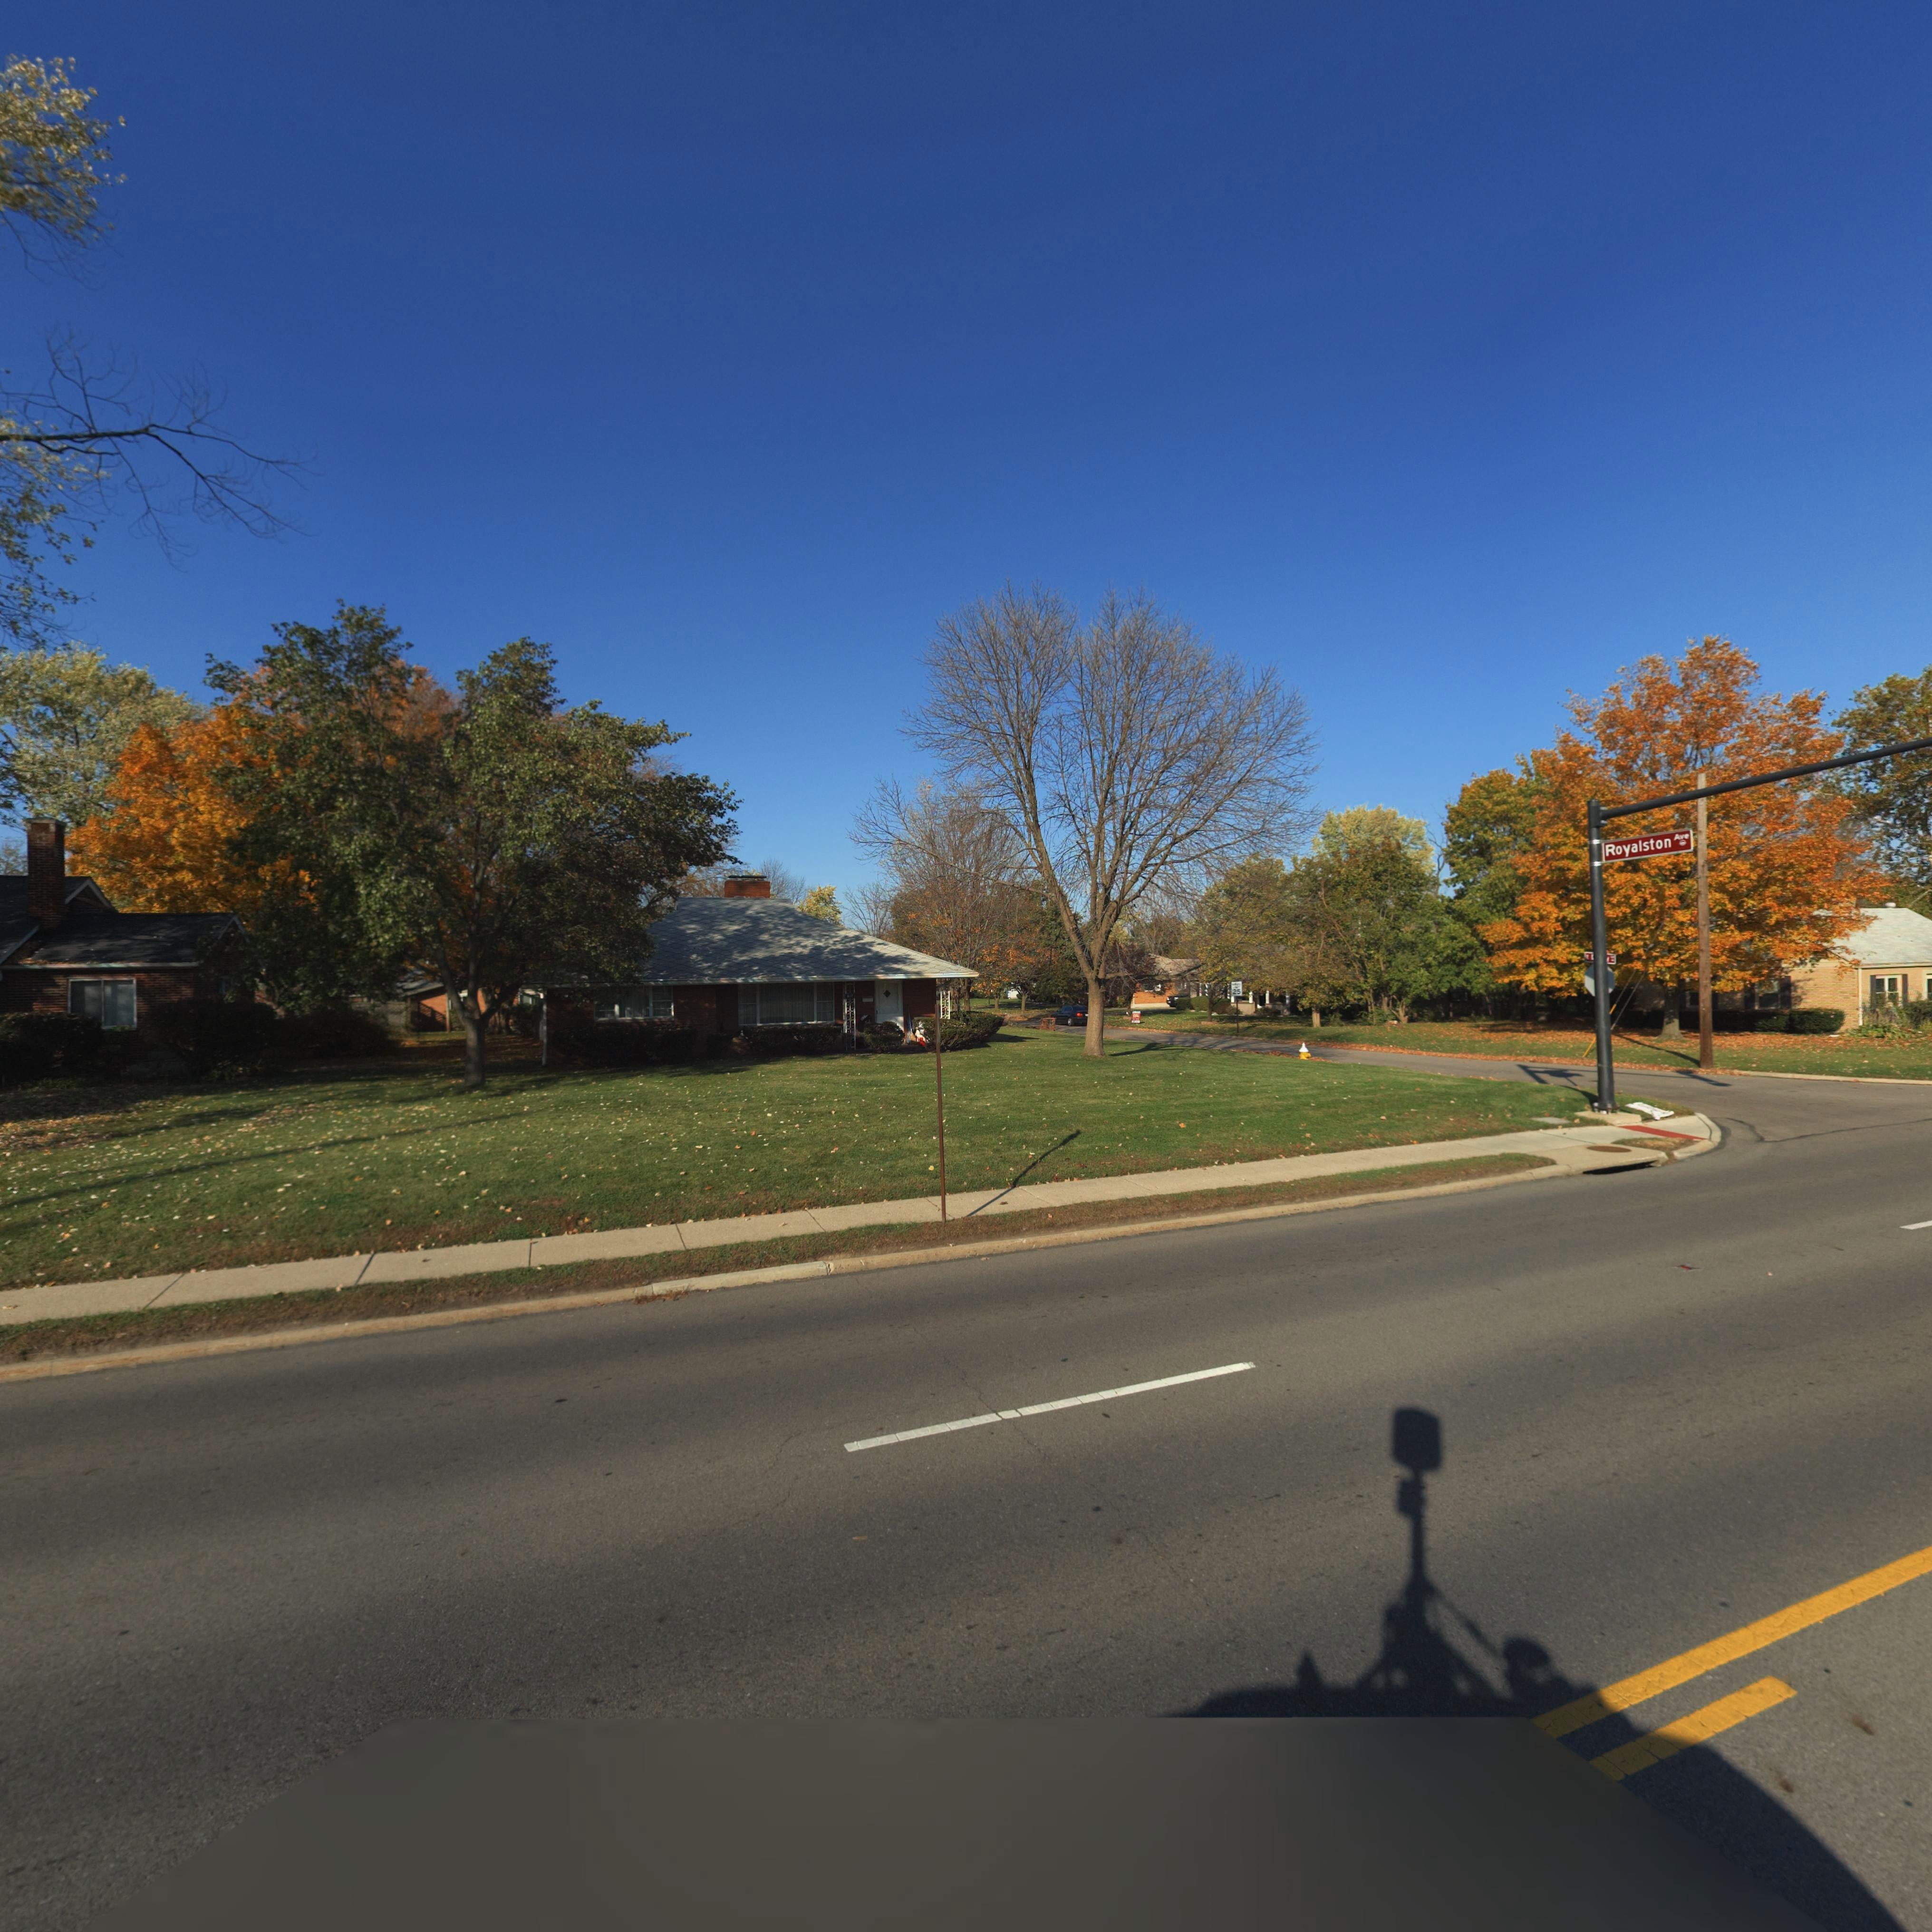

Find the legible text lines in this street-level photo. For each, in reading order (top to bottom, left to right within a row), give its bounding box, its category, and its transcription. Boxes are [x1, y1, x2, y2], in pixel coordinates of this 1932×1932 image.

[1604, 832, 1690, 858] StreetName: Royalston Ave
[847, 994, 853, 998] StreetNumber: 6**